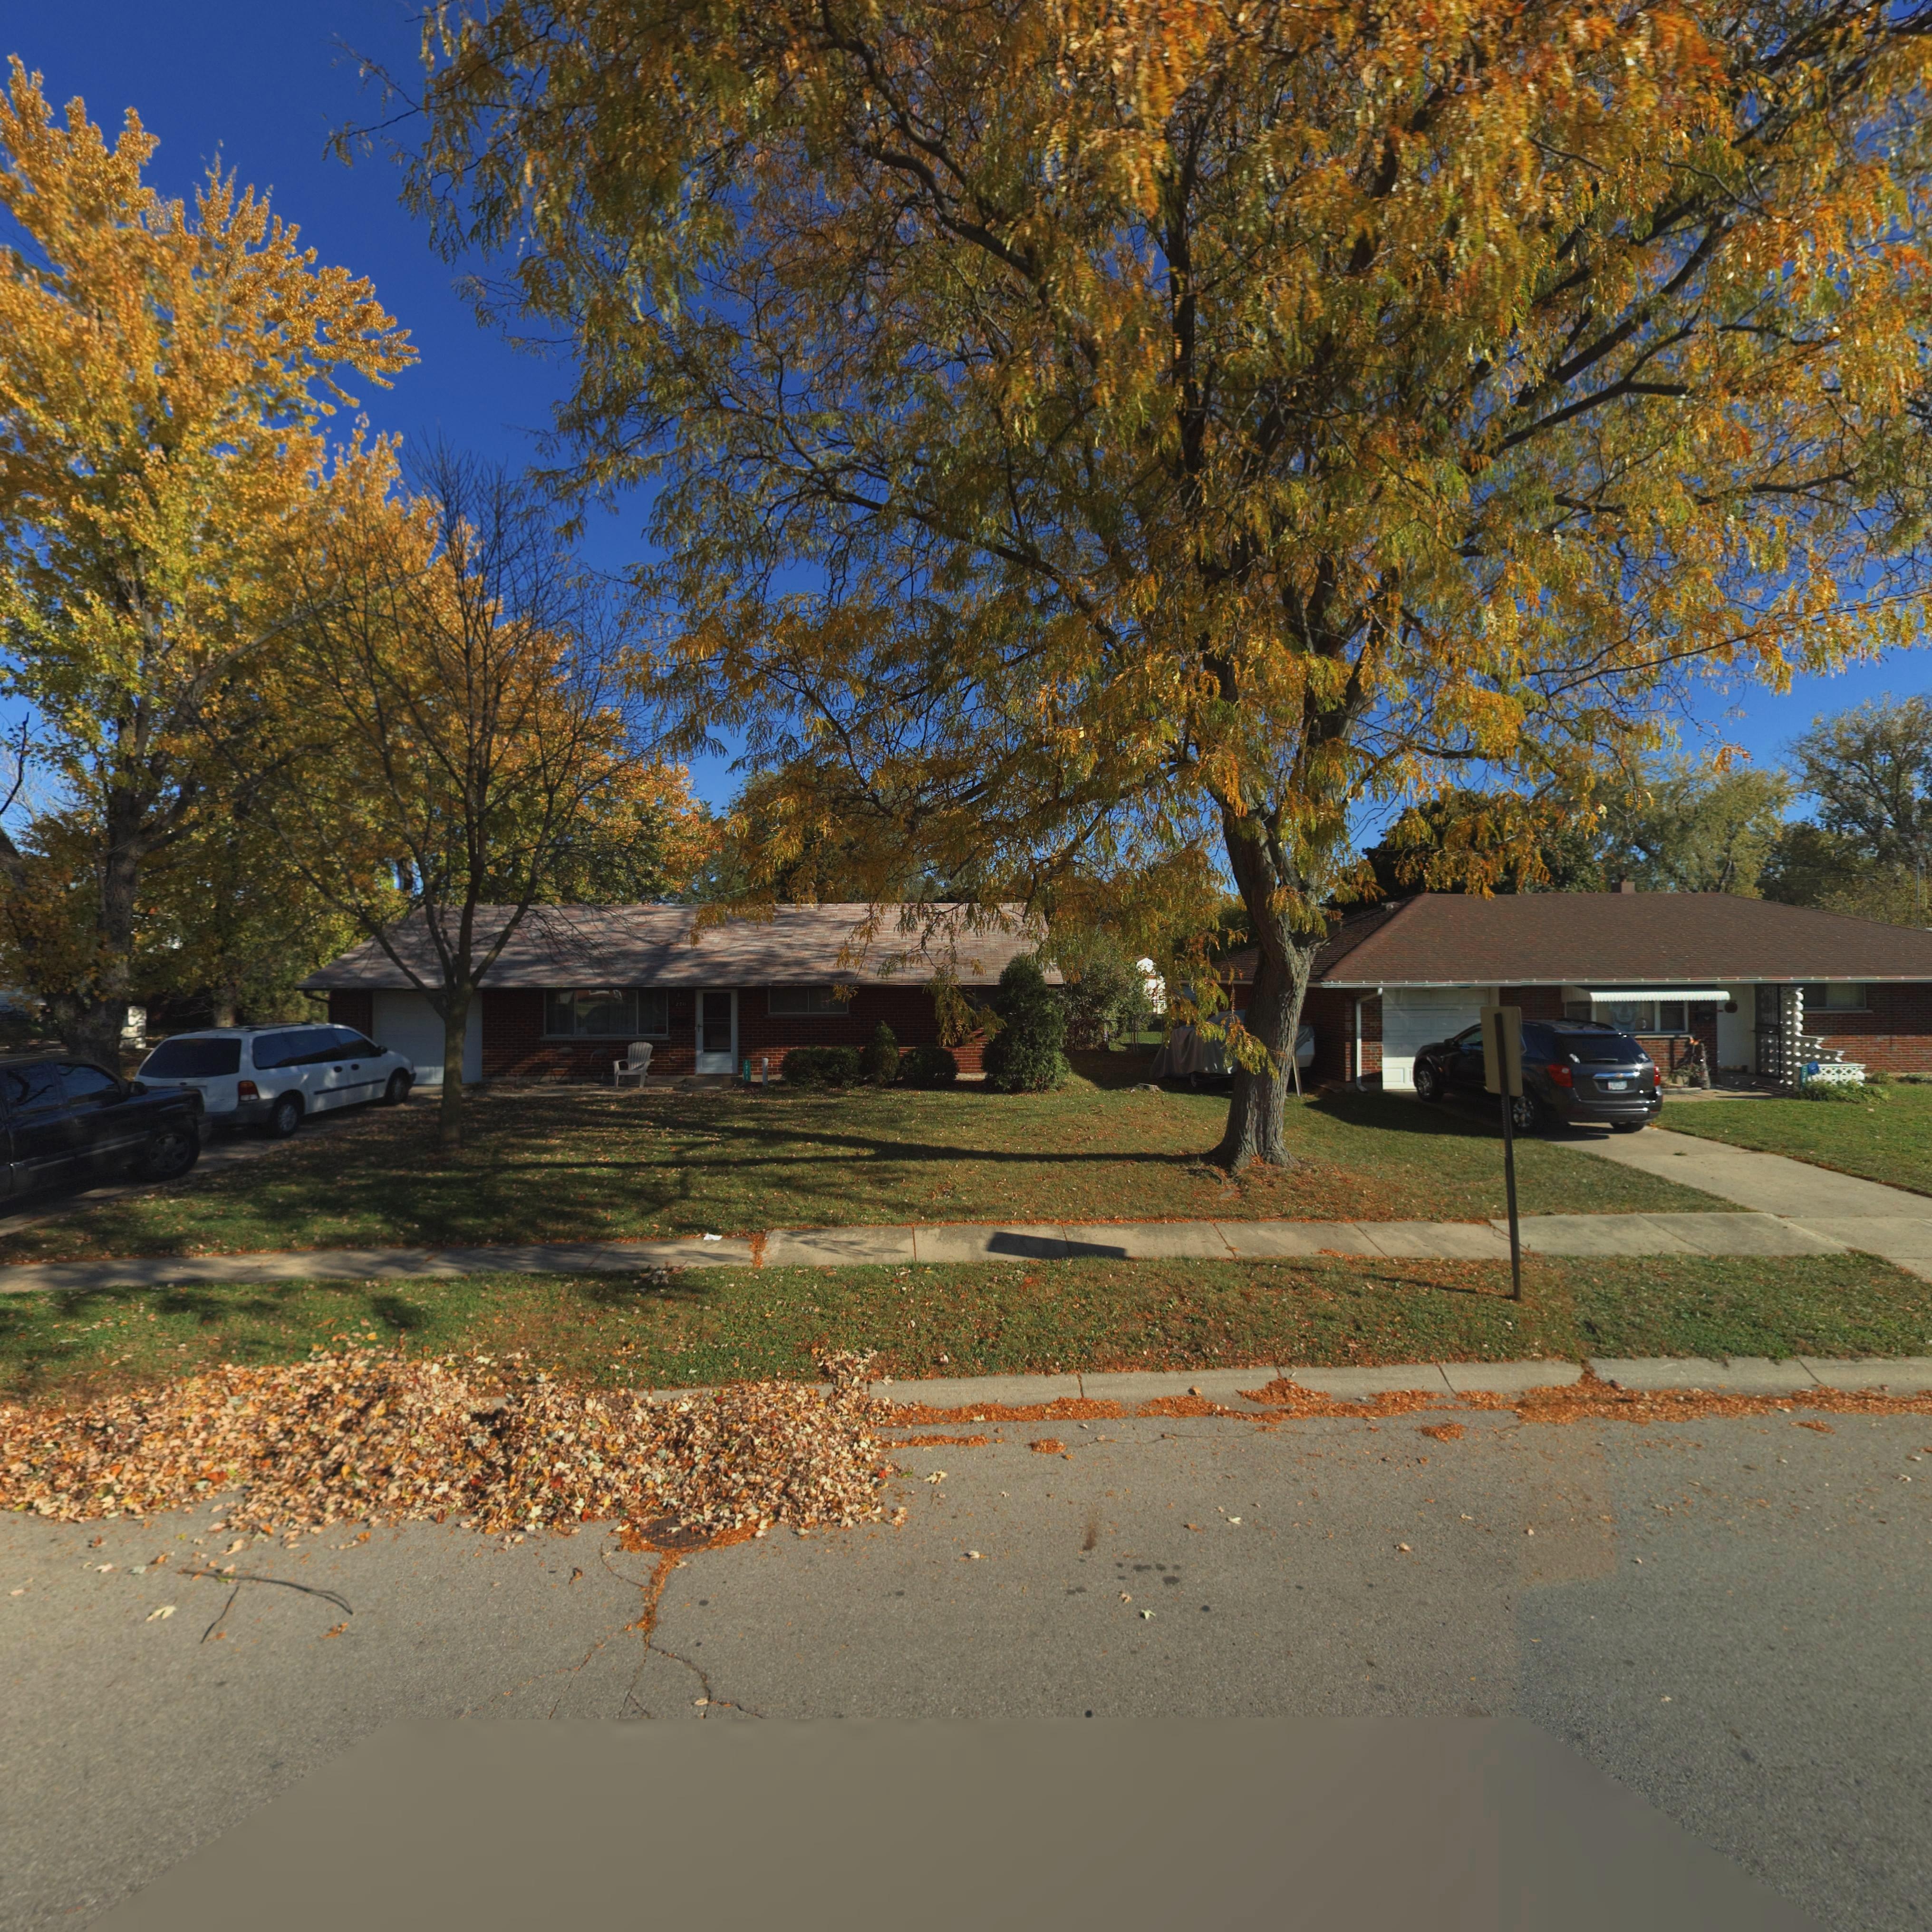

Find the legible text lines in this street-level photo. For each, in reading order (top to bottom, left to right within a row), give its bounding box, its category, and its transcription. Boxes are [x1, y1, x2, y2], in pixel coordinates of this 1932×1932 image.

[675, 1001, 686, 1006] StreetNumber: 2711
[744, 1059, 748, 1080] StreetNumber: 2711